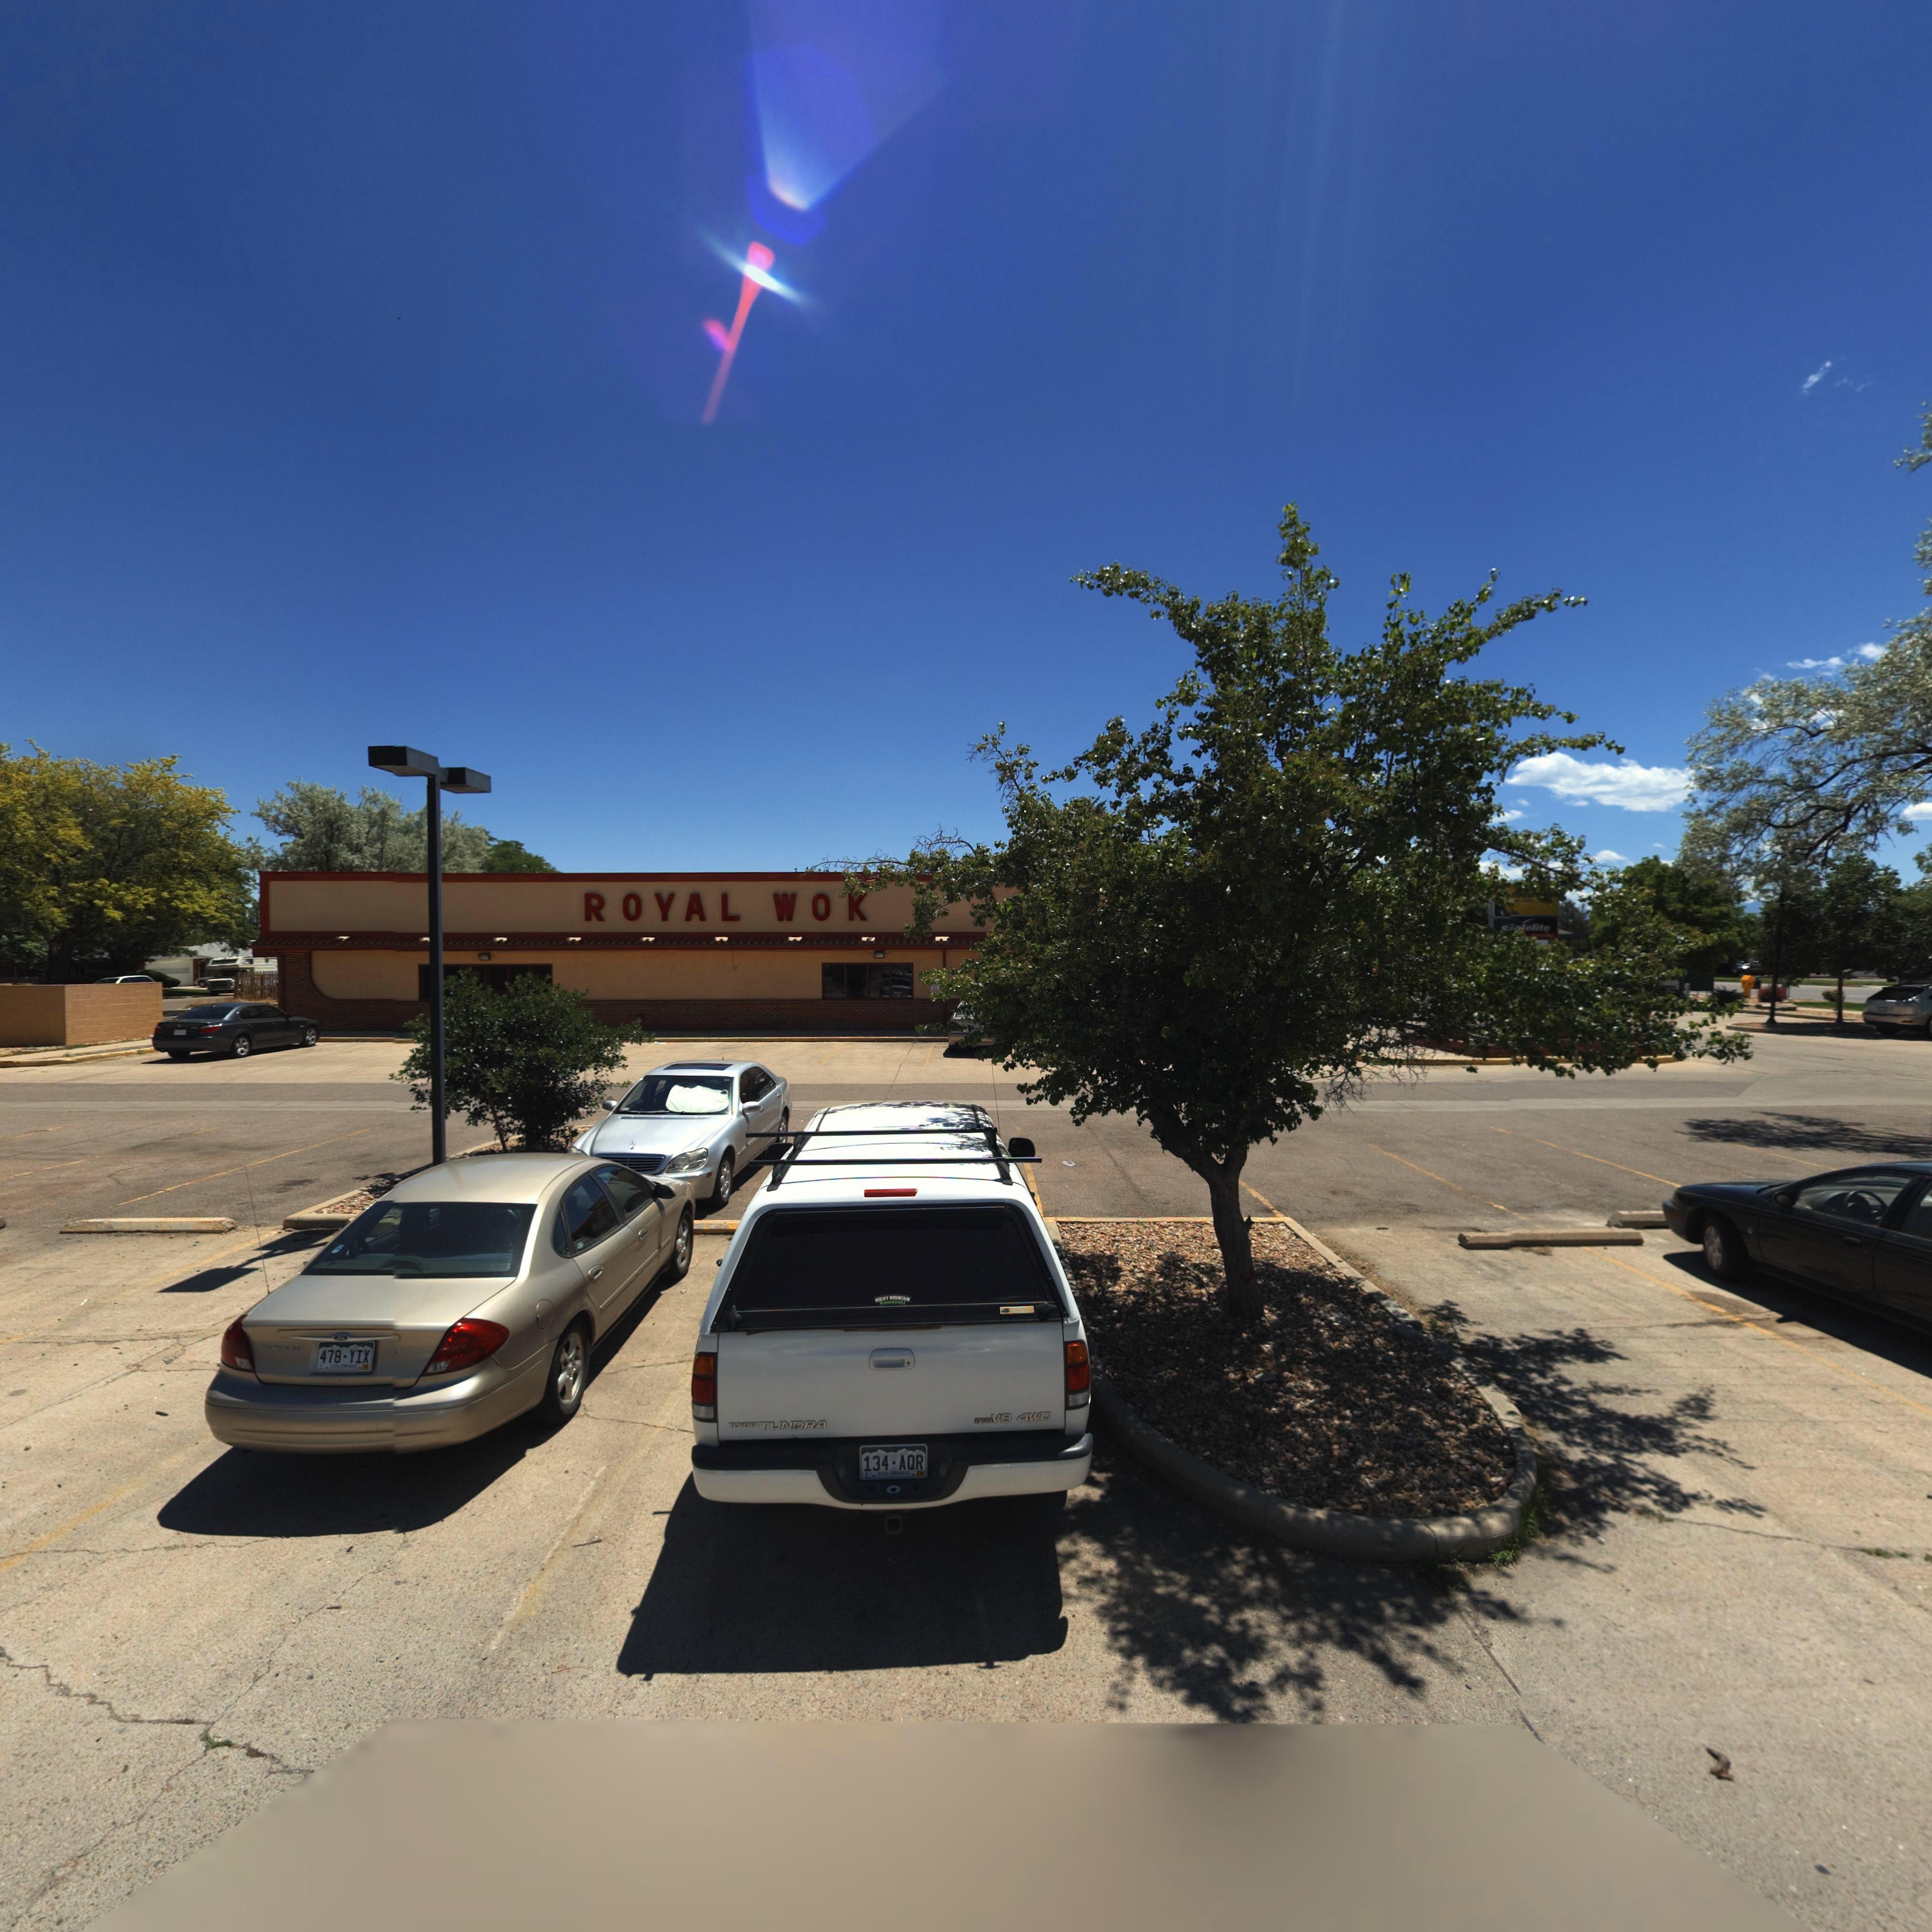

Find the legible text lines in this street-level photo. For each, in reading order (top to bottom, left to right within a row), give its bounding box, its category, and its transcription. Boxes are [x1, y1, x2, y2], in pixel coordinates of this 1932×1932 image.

[584, 892, 867, 921] BusinessName: ROYAL WOK
[1498, 922, 1551, 932] BusinessName: ***elite